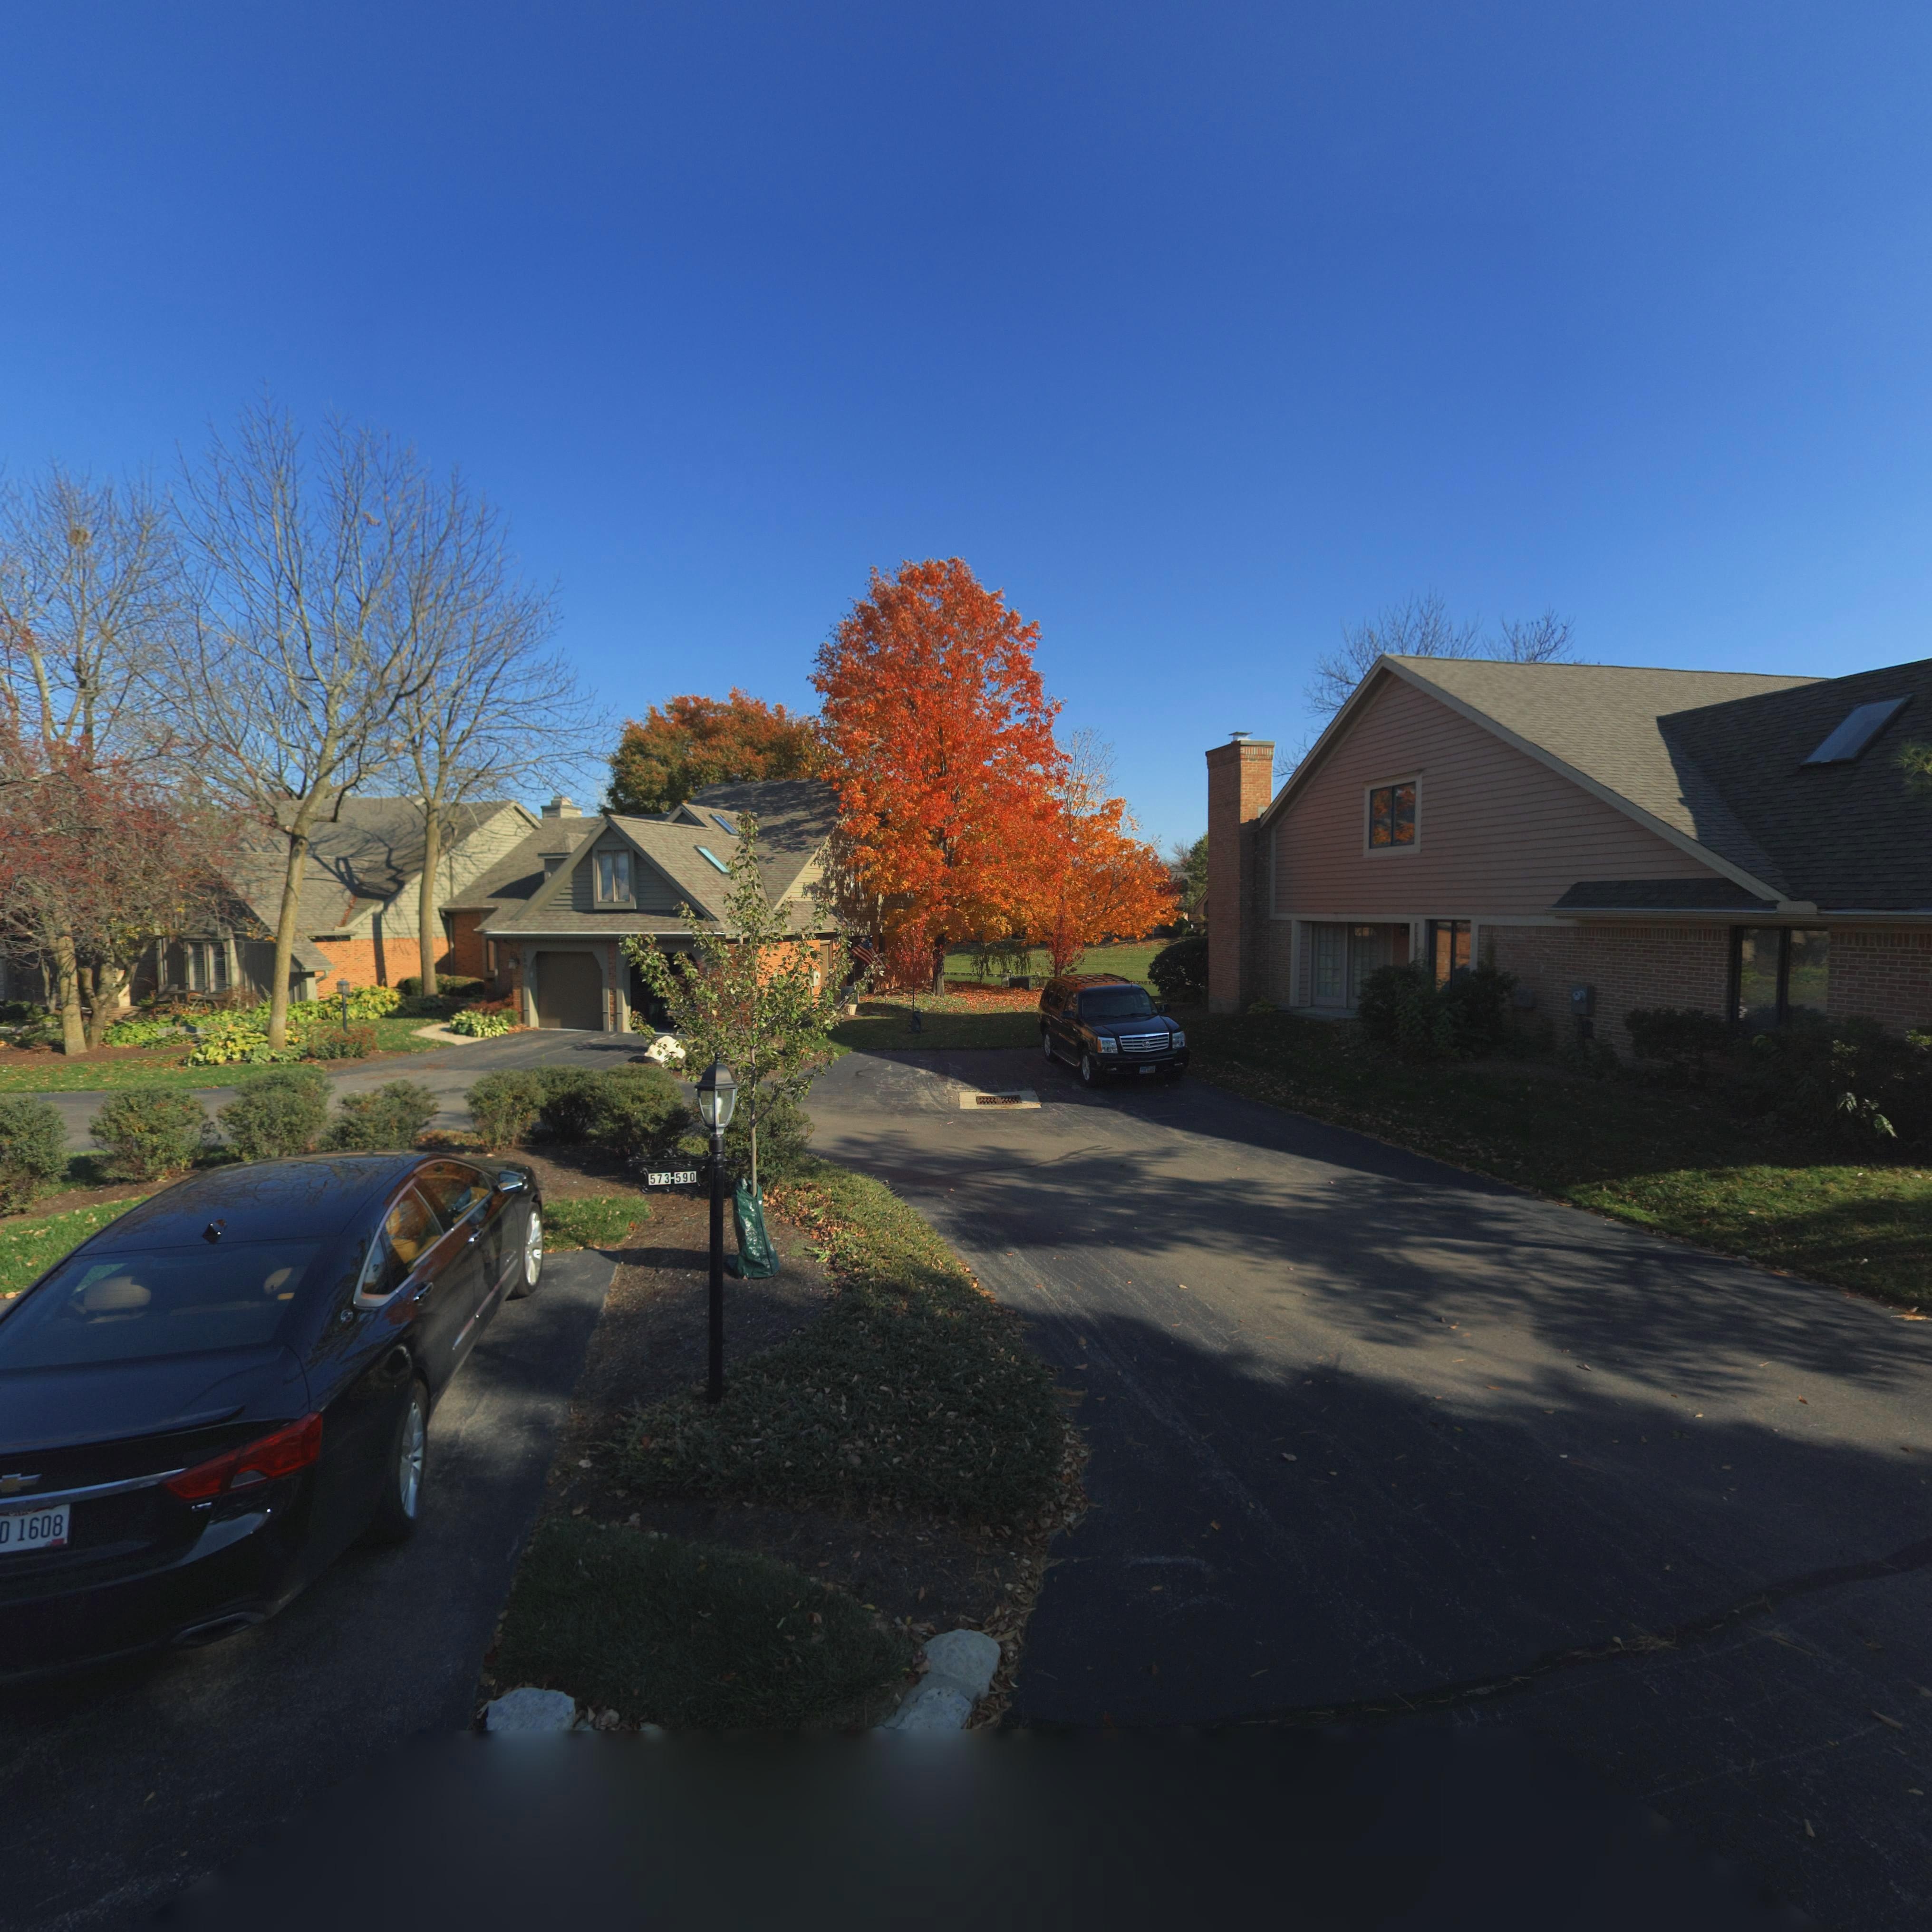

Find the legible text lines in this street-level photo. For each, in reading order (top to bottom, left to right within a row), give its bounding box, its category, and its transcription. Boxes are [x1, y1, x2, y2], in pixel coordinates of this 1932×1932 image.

[522, 949, 527, 970] StreetNumber: 590
[649, 1173, 670, 1184] None: 573
[675, 1172, 696, 1183] None: 590